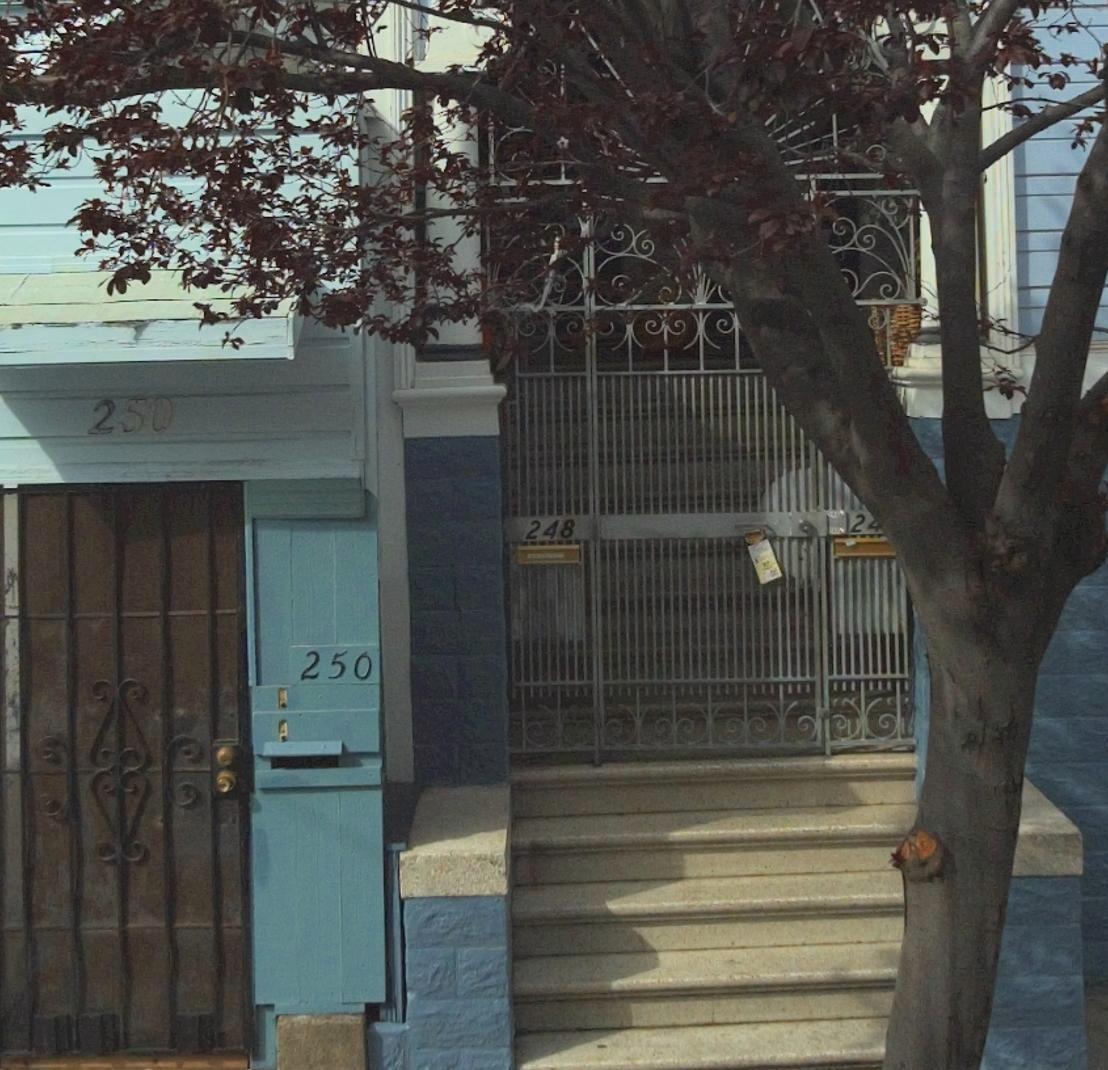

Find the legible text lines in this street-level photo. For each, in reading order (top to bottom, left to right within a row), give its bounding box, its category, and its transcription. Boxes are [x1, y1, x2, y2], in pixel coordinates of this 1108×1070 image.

[84, 395, 176, 435] StreetNumber: 250
[521, 517, 578, 541] StreetNumber: 248
[846, 511, 870, 535] StreetNumber: 2
[297, 648, 375, 683] StreetNumber: 250